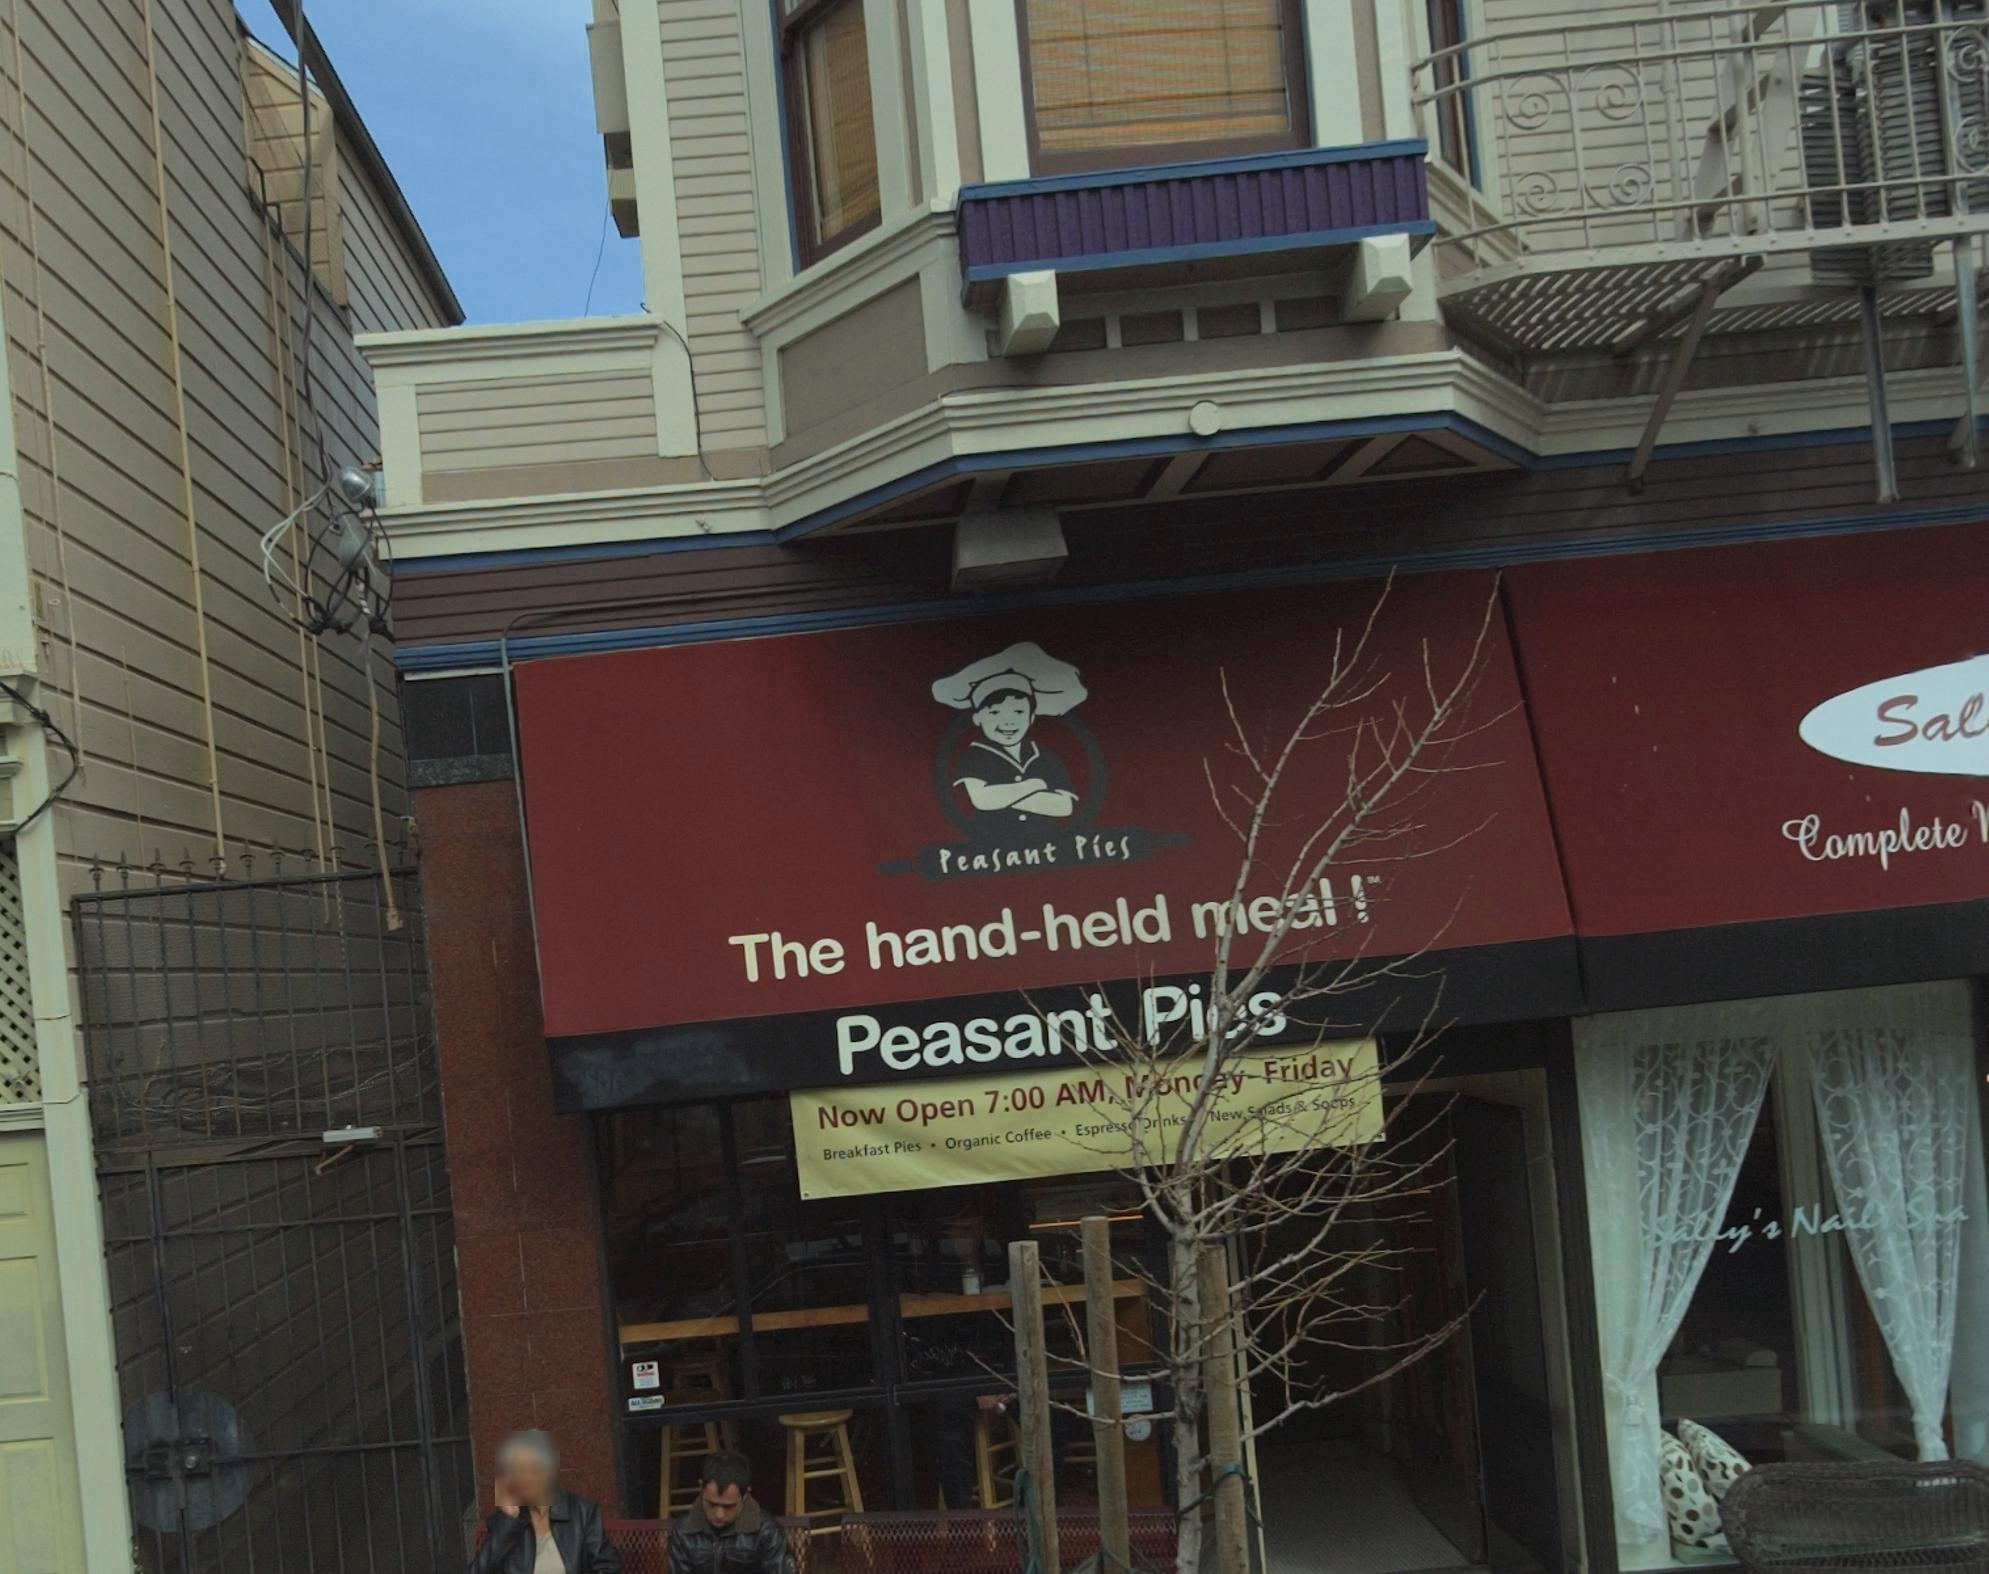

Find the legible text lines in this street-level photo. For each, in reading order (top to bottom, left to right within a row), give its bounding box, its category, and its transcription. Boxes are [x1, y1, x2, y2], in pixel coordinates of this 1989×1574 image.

[1874, 692, 1952, 749] BusinessName: Sa
[936, 833, 1134, 878] BusinessName: Peasant Pies
[1776, 804, 1971, 873] None: Complete
[725, 870, 1378, 988] None: The hand-held *e*l!
[833, 981, 1290, 1078] BusinessName: Peasant Pi**
[818, 1054, 1357, 1133] None: Now Open 7:00 AM, **n**y-Friday
[821, 1094, 1358, 1164] None: Breakfast Pies - Organic Coffee - Espress* *r*nks New ***ads & So*ps
[1645, 1192, 1975, 1256] BusinessName: Sally's Nails Spa